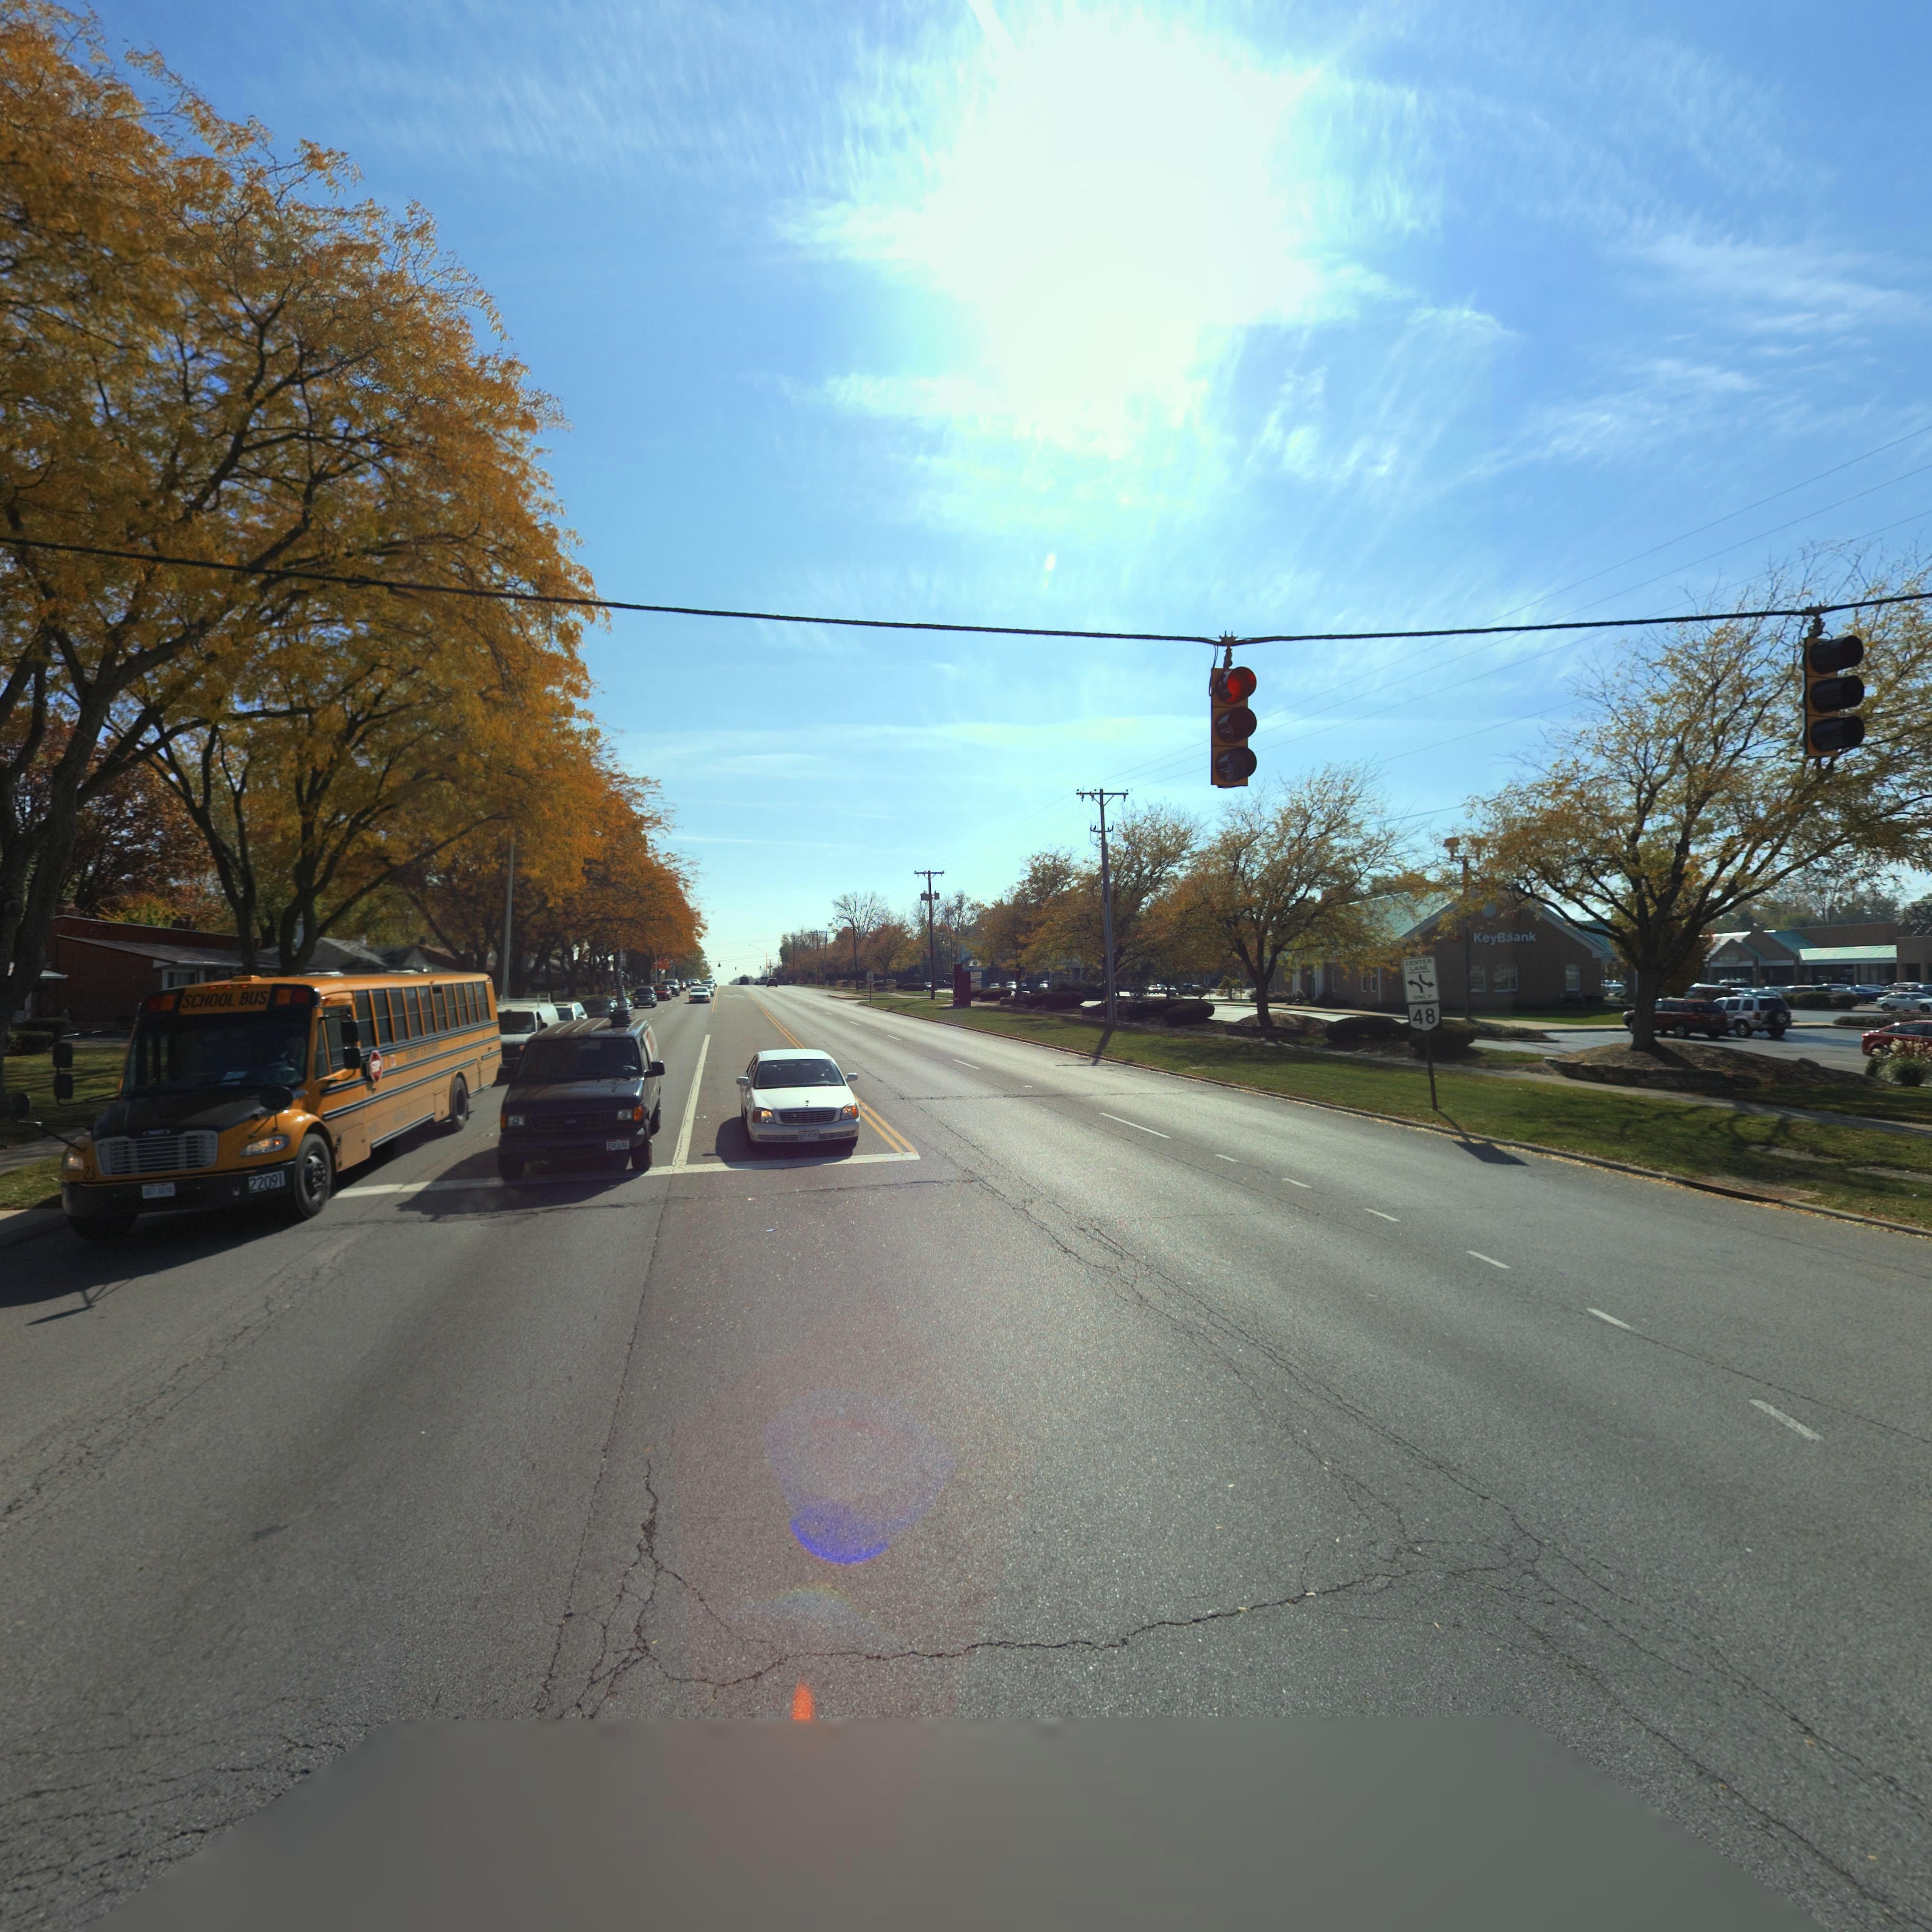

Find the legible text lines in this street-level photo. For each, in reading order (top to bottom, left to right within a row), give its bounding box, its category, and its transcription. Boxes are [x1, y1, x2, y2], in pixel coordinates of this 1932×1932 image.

[1472, 929, 1538, 947] BusinessName: KeyB*ank